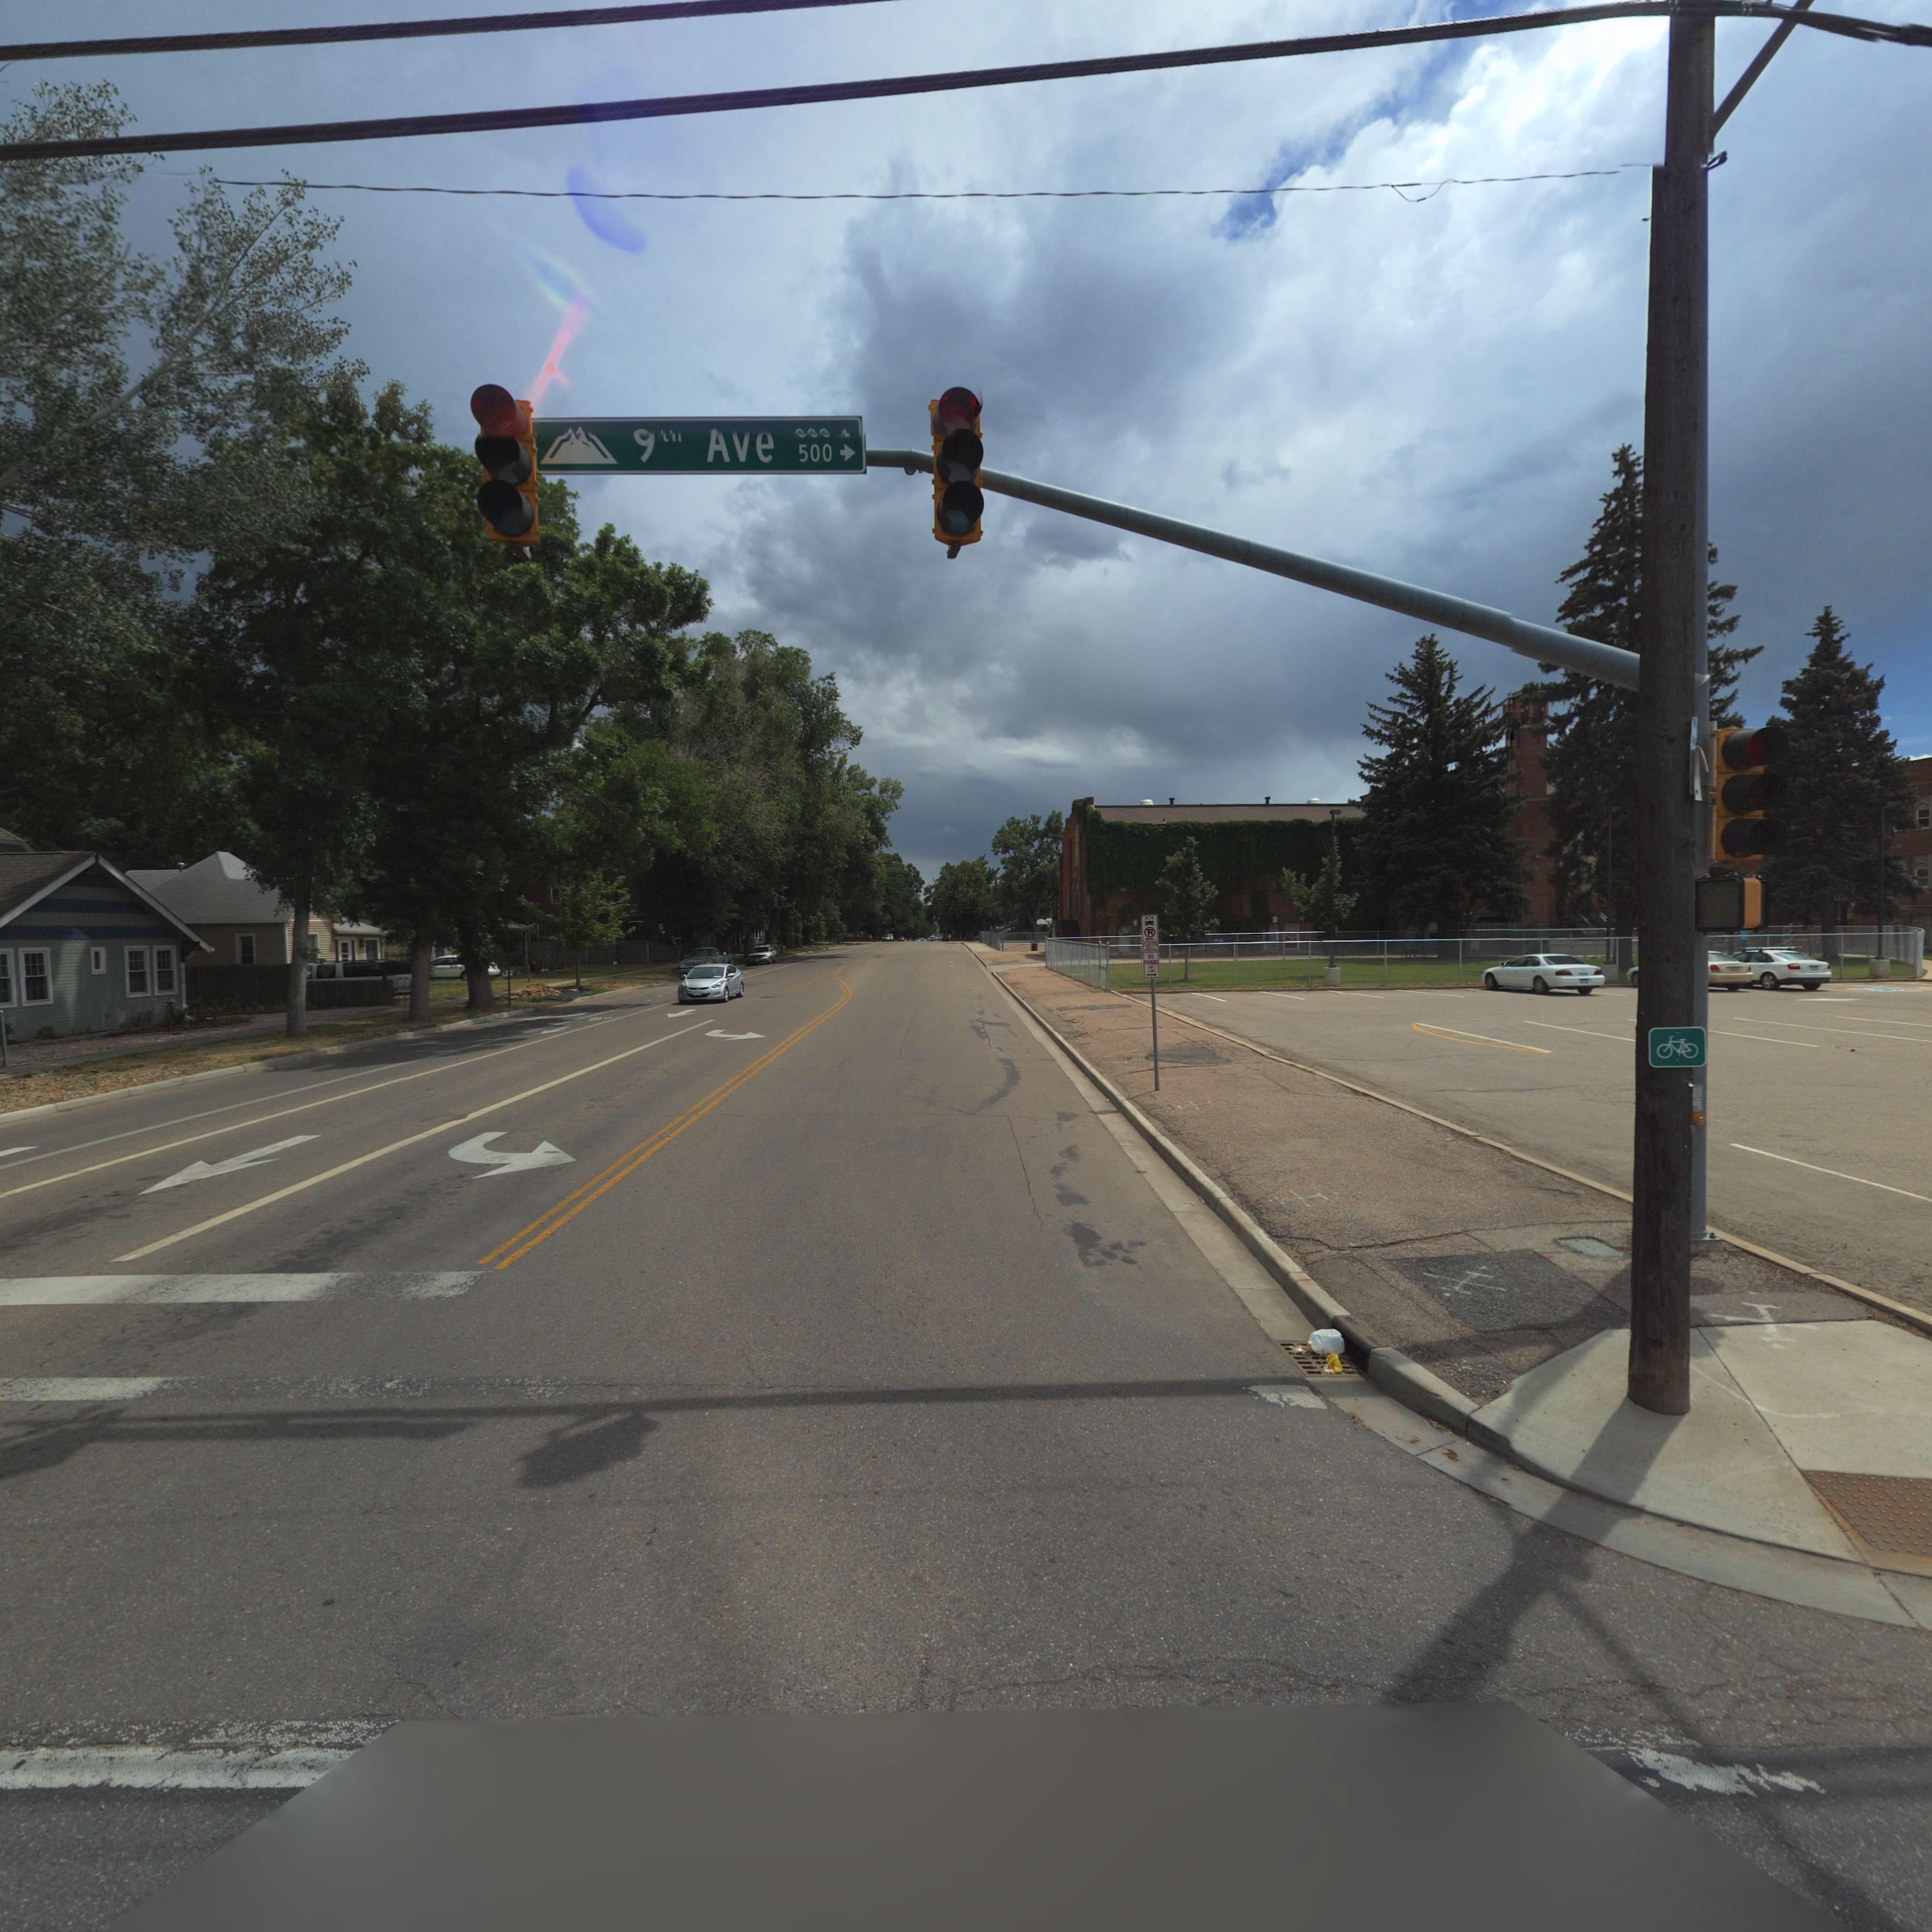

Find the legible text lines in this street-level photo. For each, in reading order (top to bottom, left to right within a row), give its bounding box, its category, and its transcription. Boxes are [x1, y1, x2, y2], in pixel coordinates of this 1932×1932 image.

[633, 427, 775, 464] StreetName: 9** Ave
[799, 443, 856, 463] StreetNumberRange: 500->